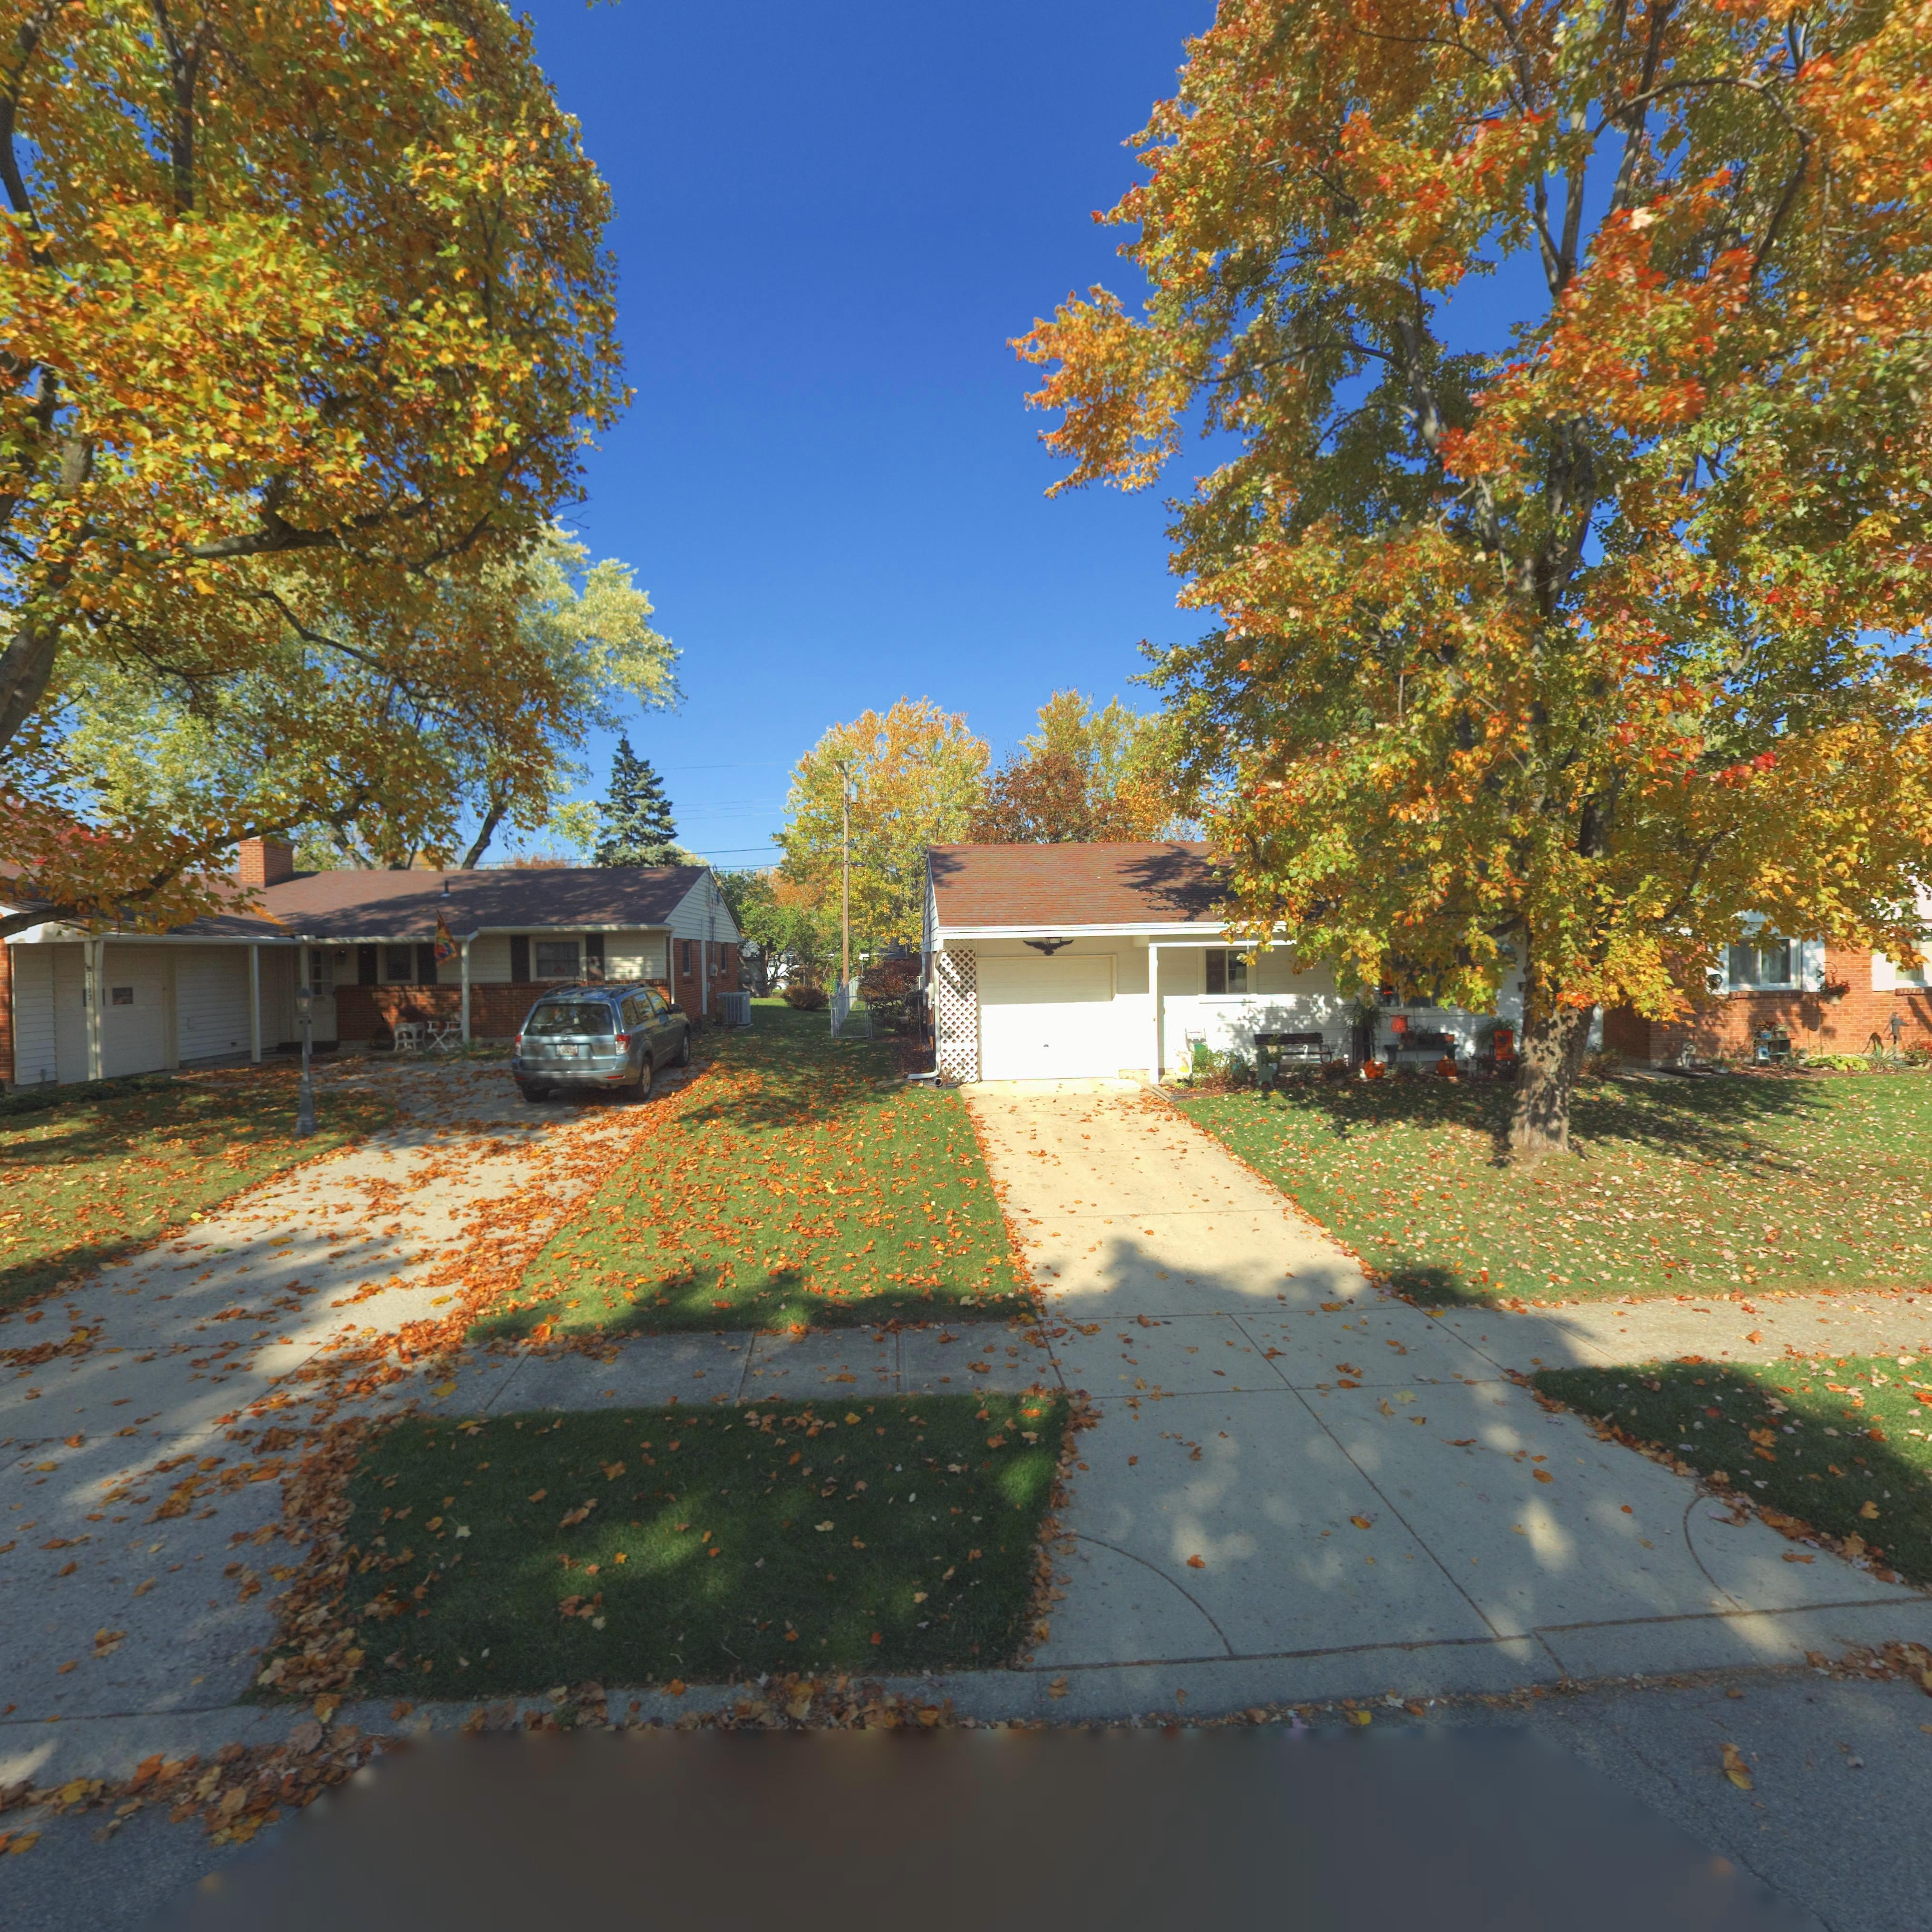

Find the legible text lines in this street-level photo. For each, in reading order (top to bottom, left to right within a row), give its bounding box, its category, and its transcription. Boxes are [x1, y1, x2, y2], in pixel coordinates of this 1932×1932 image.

[86, 971, 93, 1003] StreetNumber: 1113